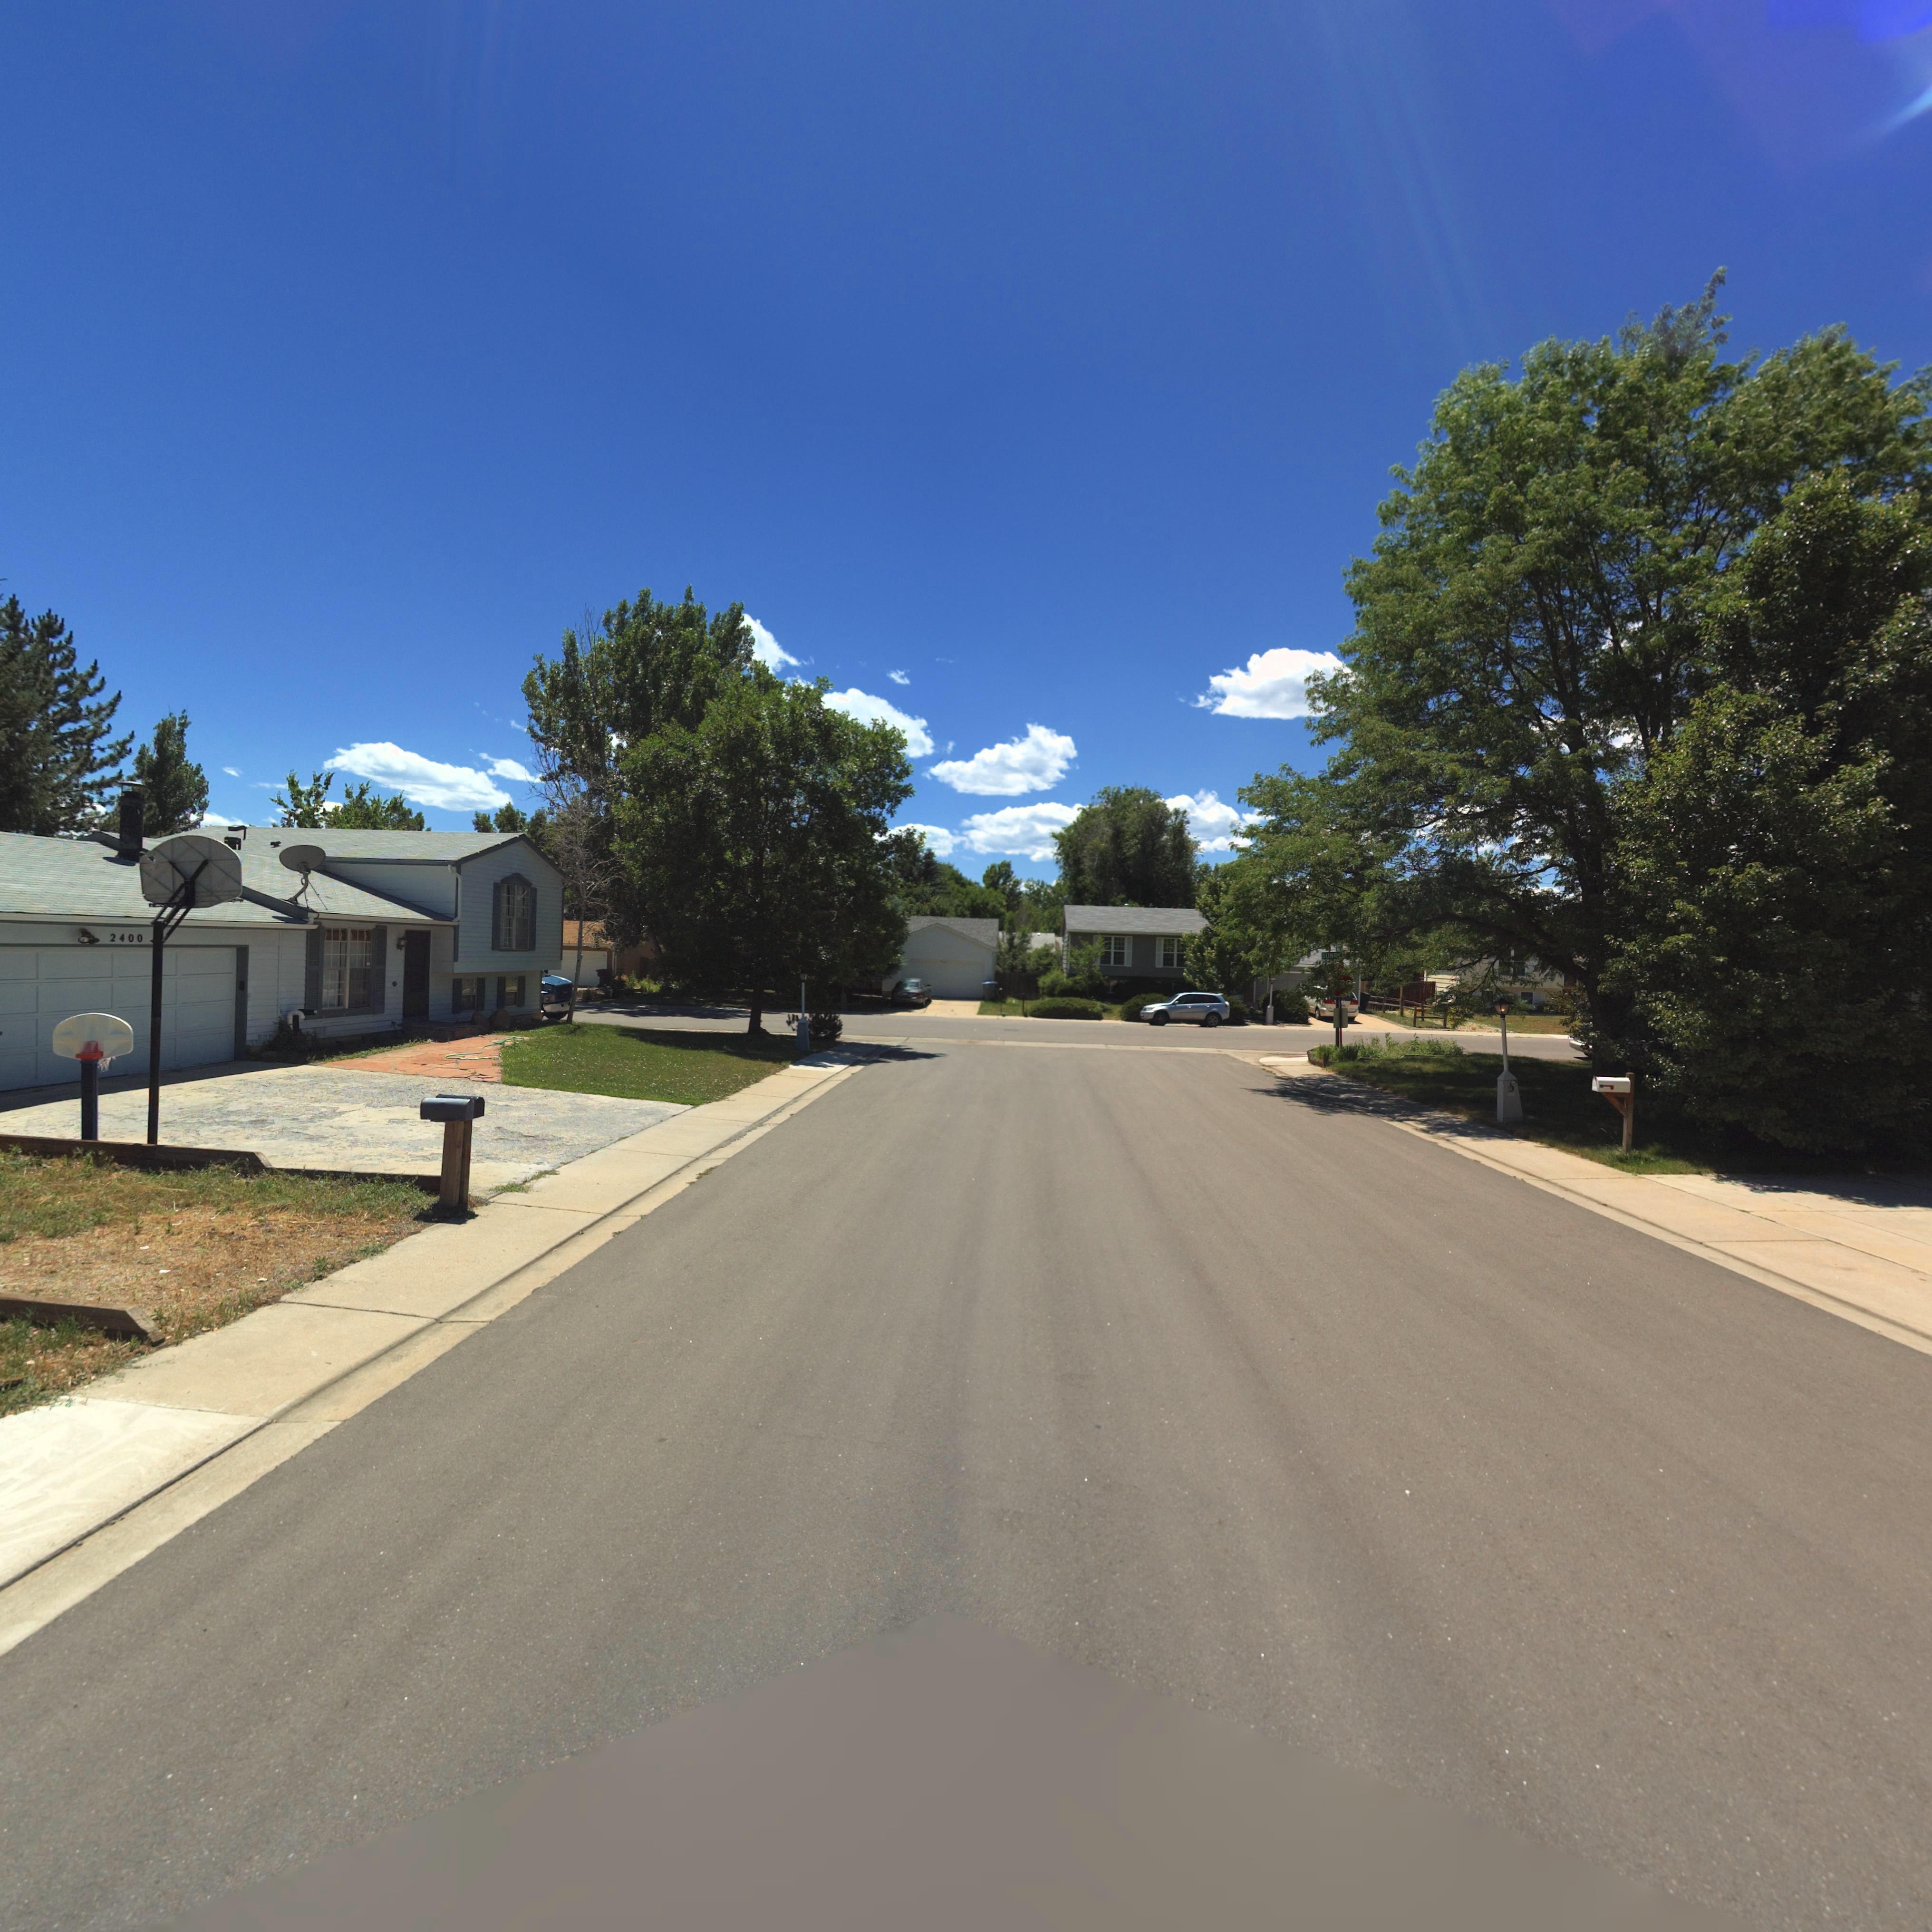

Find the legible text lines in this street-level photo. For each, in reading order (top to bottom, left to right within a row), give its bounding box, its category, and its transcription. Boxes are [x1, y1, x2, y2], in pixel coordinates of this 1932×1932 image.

[110, 933, 143, 942] StreetNumber: 2400
[1322, 953, 1346, 958] StreetName: SUNR***